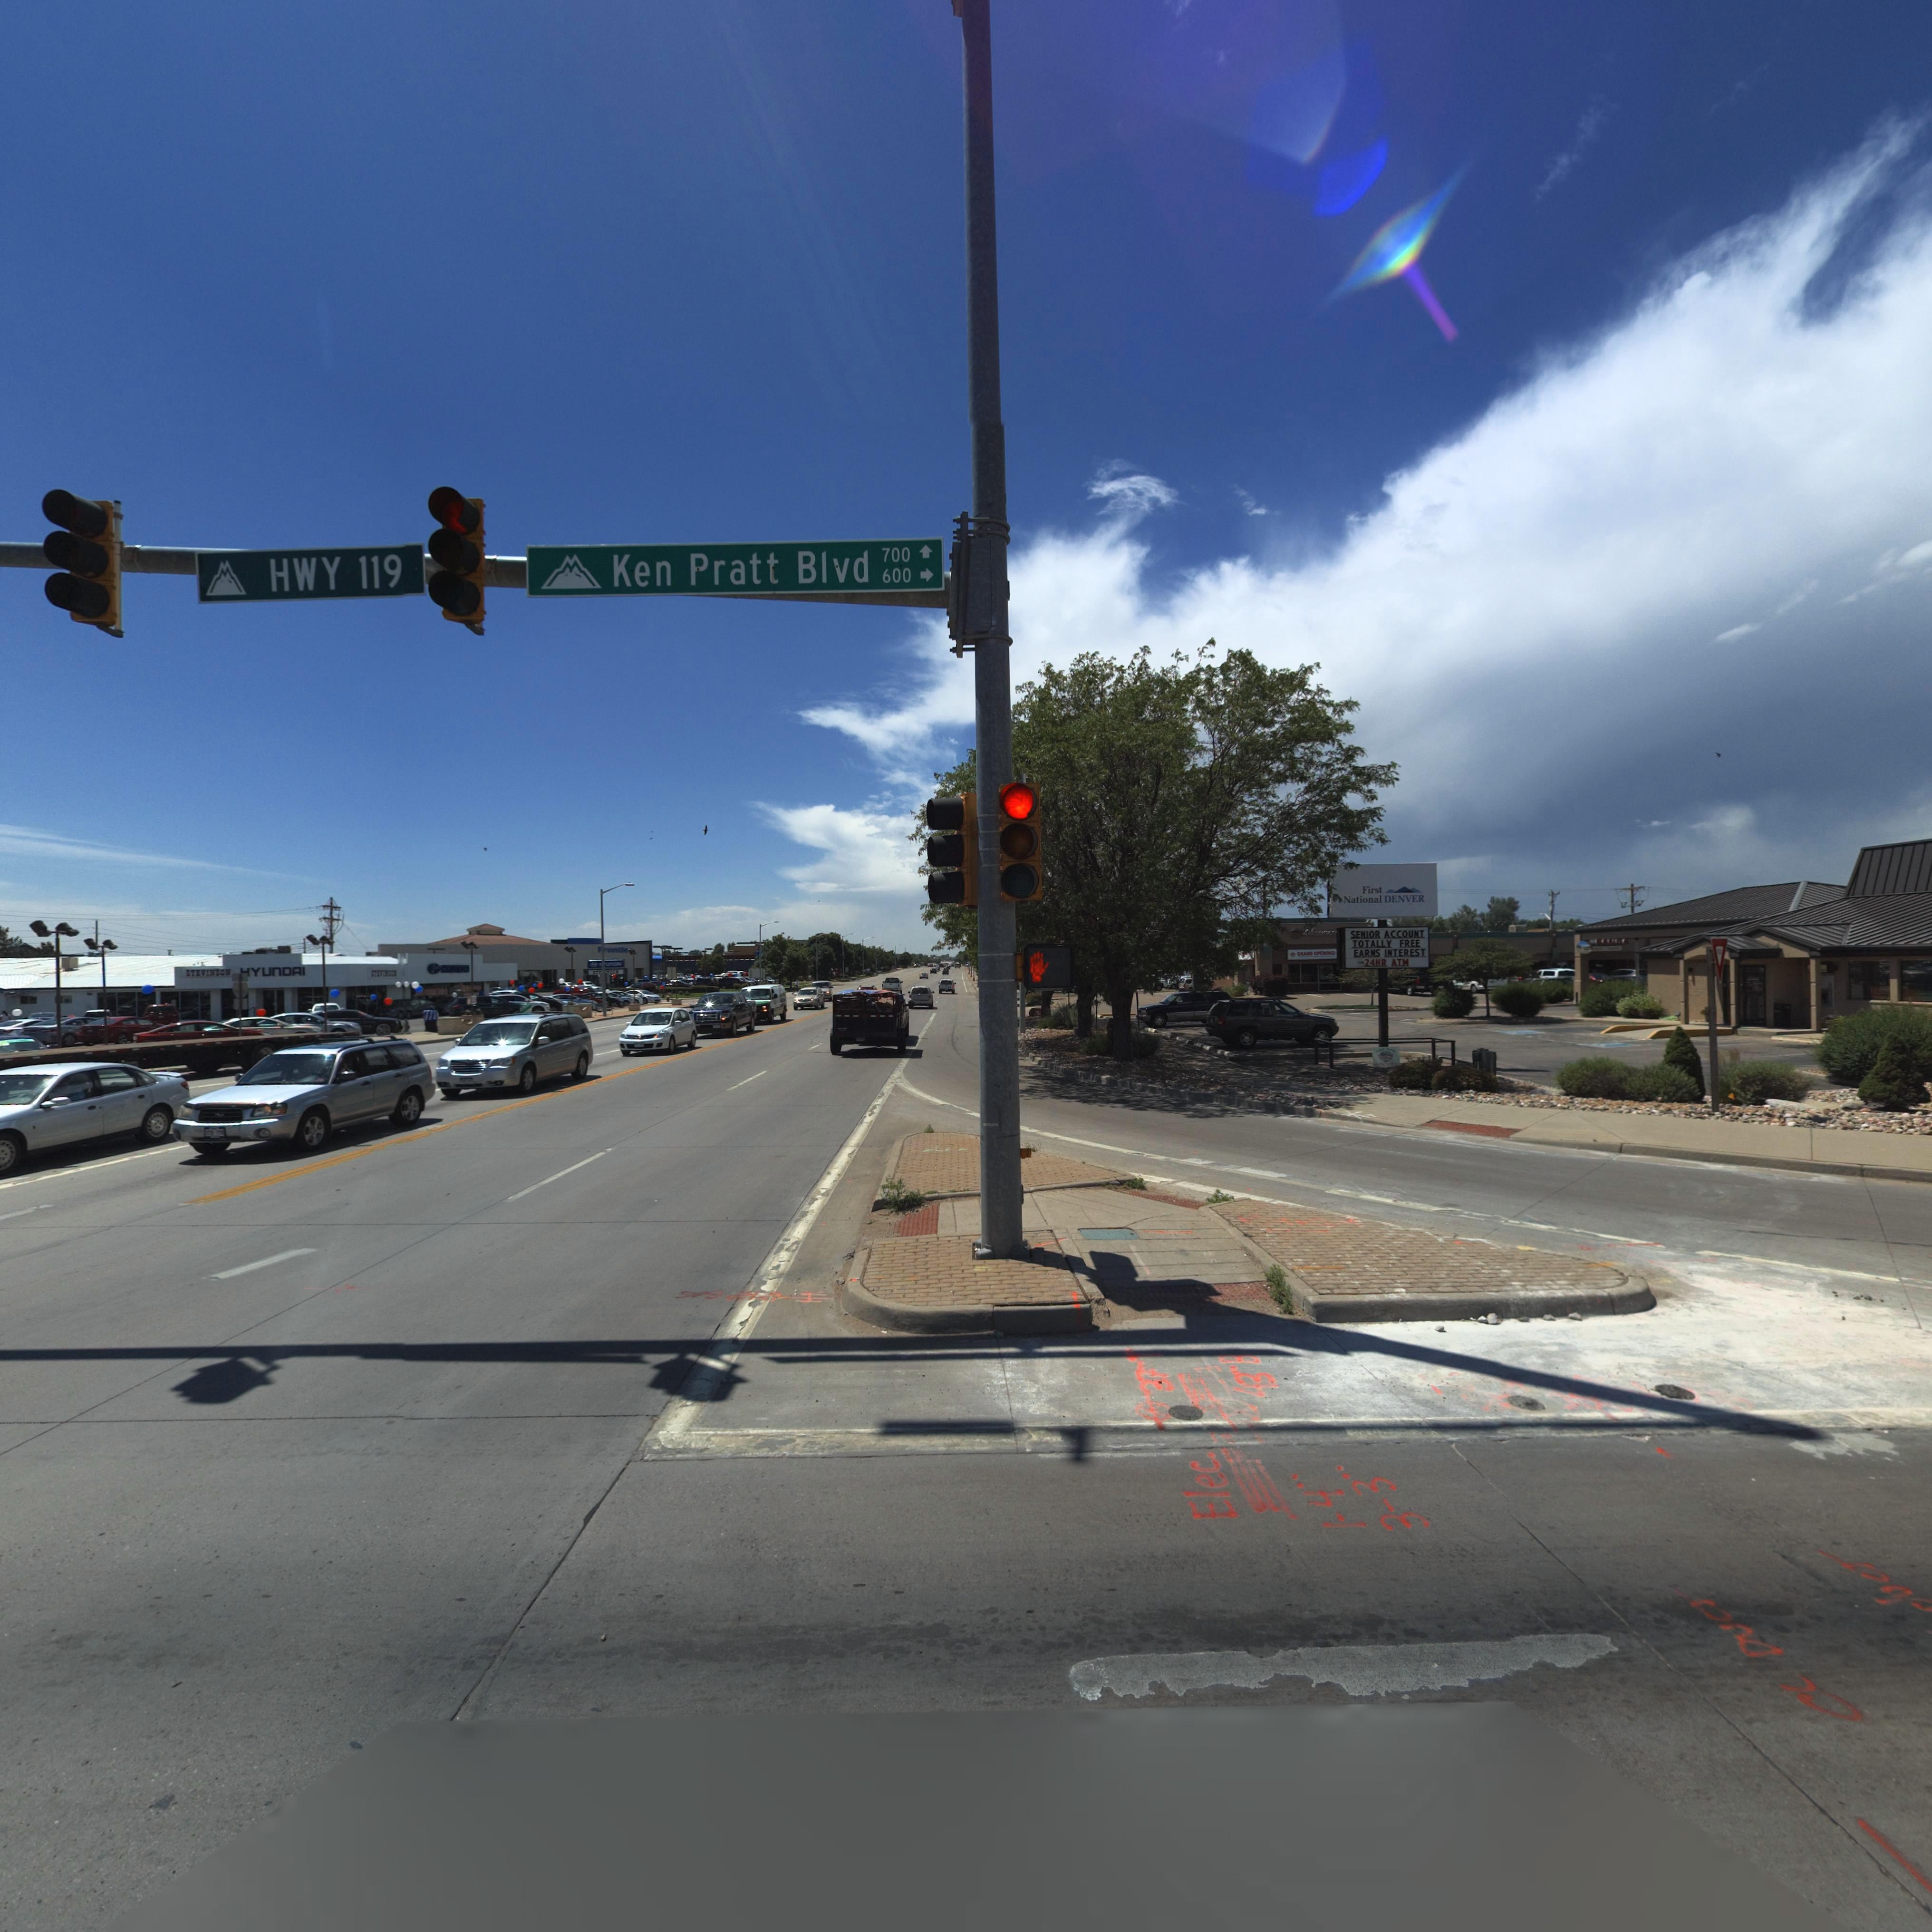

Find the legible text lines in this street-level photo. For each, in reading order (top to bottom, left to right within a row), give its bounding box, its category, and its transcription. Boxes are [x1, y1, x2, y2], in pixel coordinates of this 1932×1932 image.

[880, 546, 911, 562] StreetNumberRange: 700
[270, 553, 403, 592] StreetName: HWY 119
[613, 549, 869, 587] StreetName: Ken Pratt Blvd
[882, 568, 934, 583] StreetNumberRange: 600->
[1362, 885, 1382, 894] BusinessName: First
[1343, 894, 1425, 904] BusinessName: National DENVER
[185, 969, 231, 976] BusinessName: STEVINSON
[239, 966, 305, 977] BusinessName: *YUNDAI
[371, 970, 397, 977] BusinessName: STEVINSON